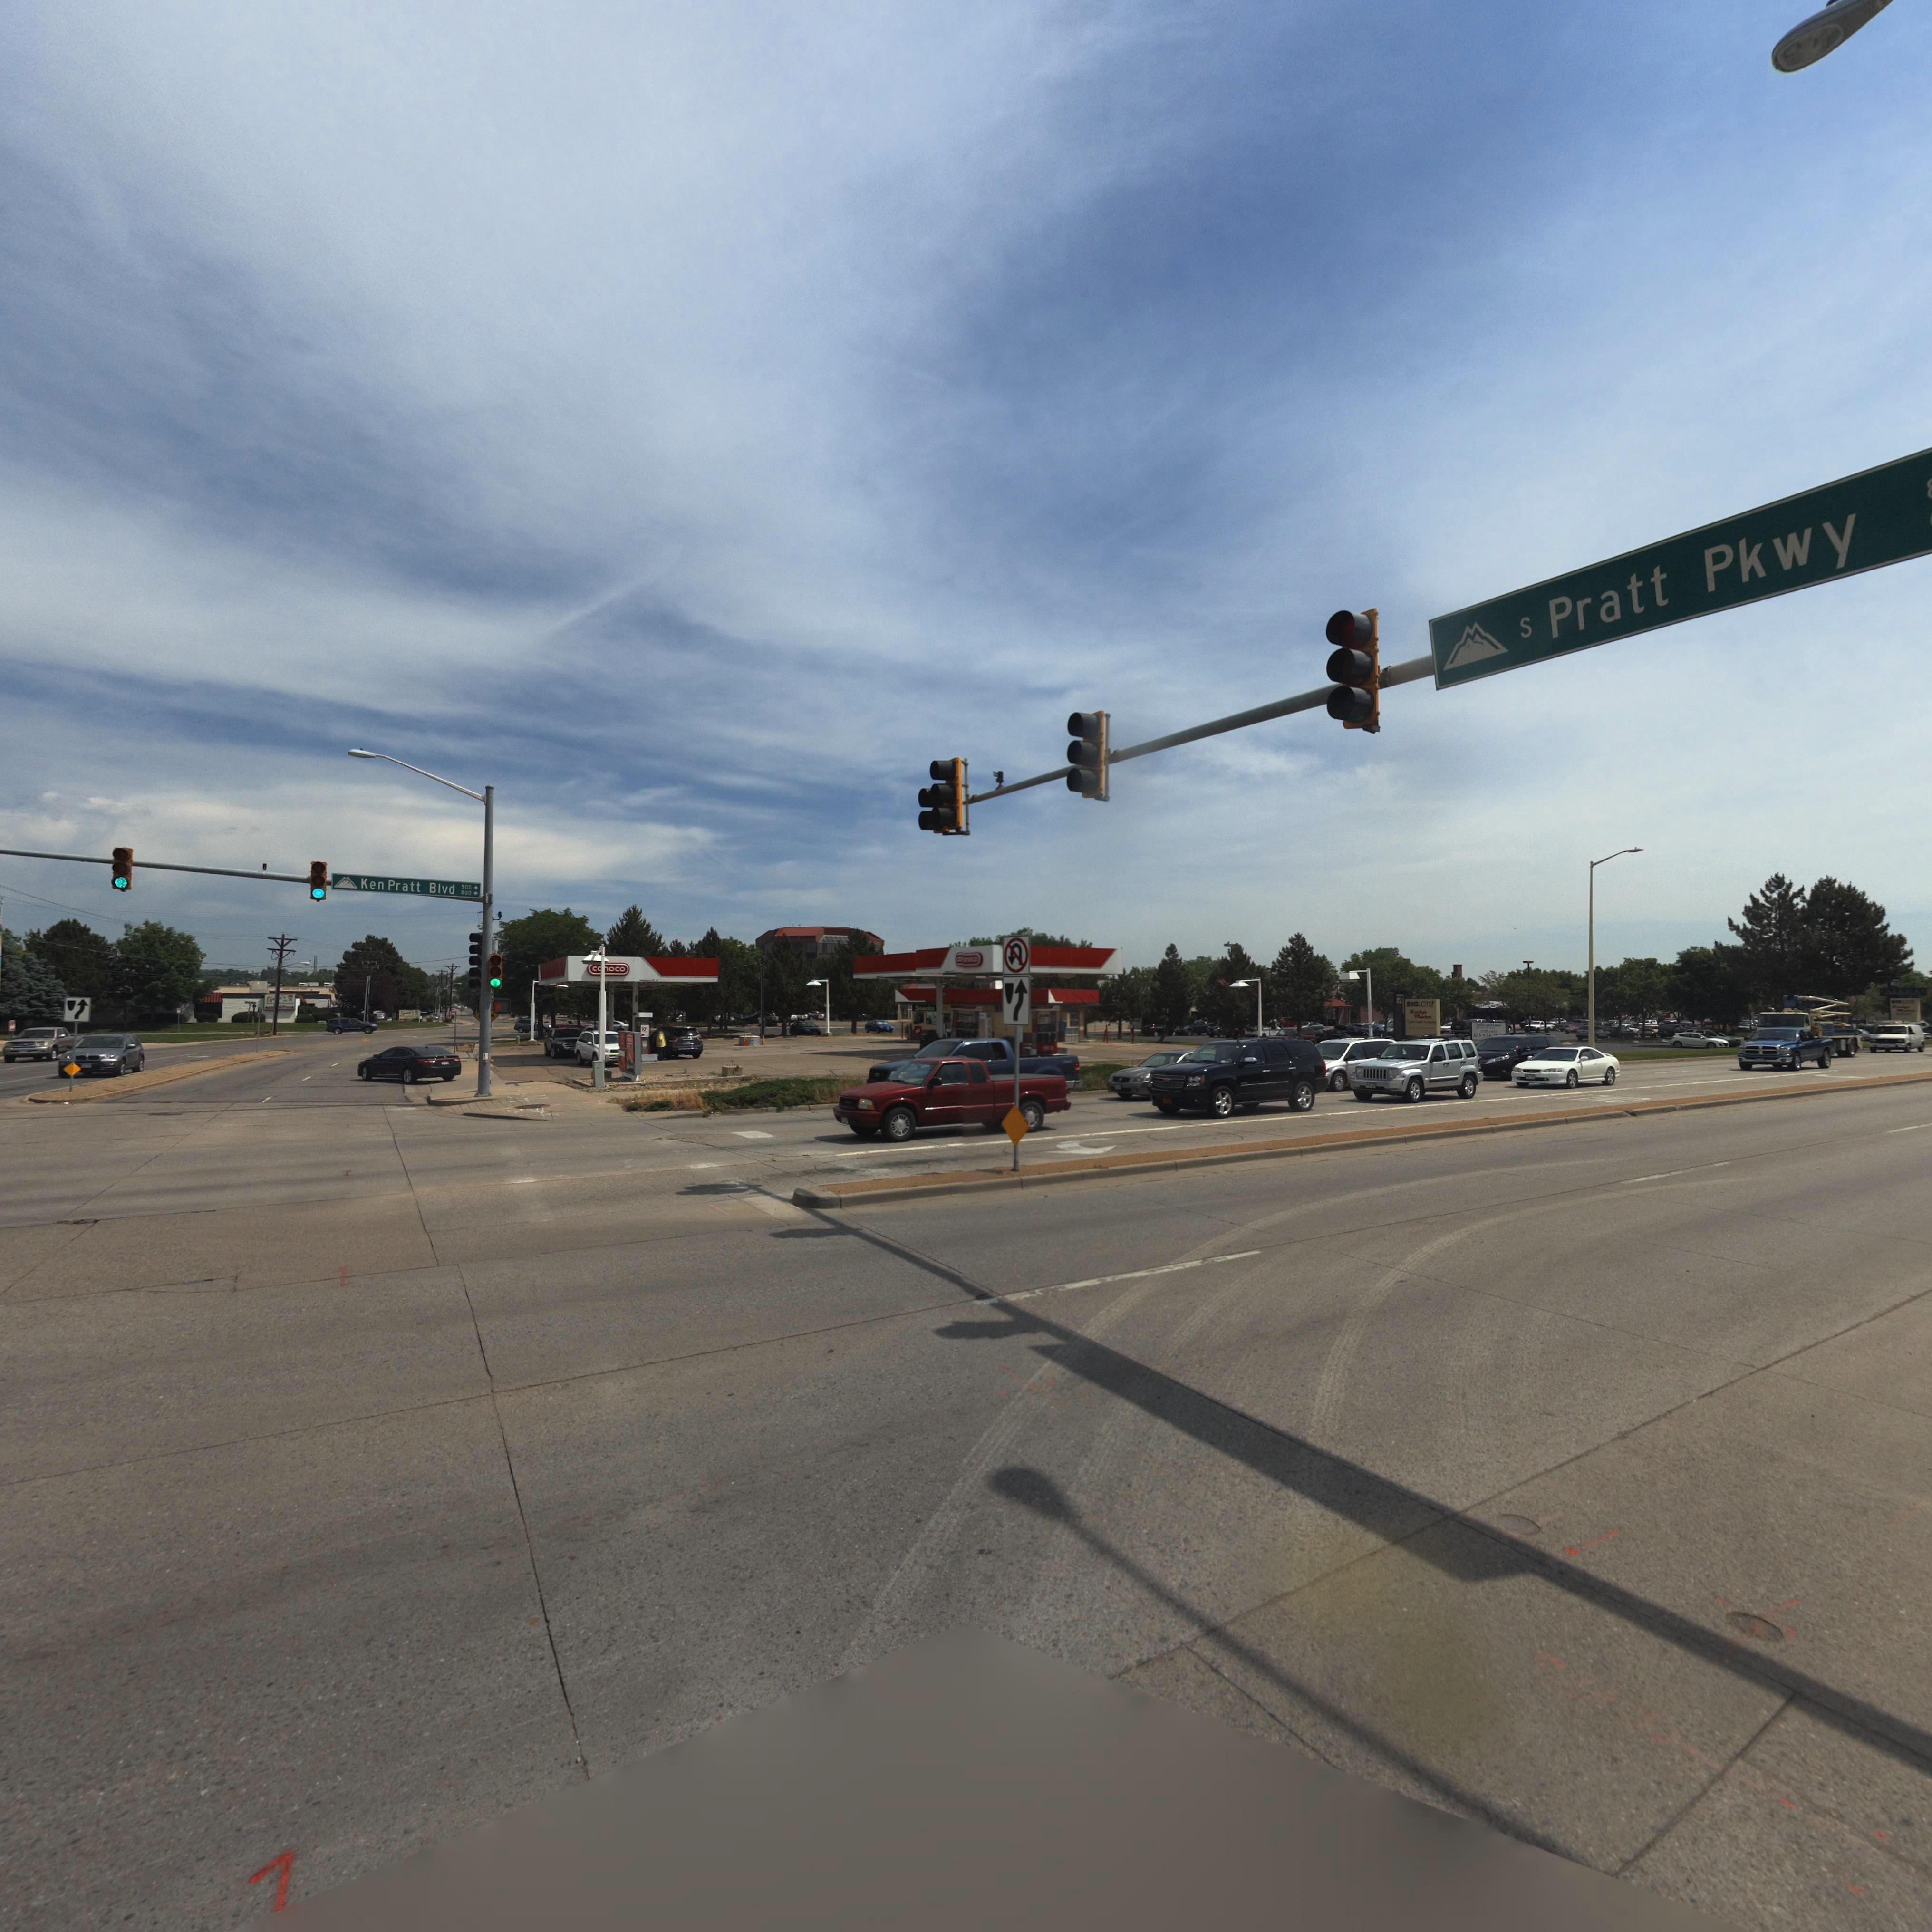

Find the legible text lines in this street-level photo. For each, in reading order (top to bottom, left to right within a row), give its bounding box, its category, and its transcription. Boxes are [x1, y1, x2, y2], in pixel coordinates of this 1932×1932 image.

[1515, 506, 1861, 642] StreetName: S Pratt Pkwy
[360, 878, 454, 894] BusinessName: Ken Pratt Blvd
[461, 884, 472, 889] StreetNumberRange: 500
[460, 889, 478, 896] StreetNumberRange: 800->
[956, 956, 978, 962] BusinessName: co***co
[592, 965, 626, 972] BusinessName: c**oco
[1406, 1000, 1434, 1007] BusinessName: BIGLOTS*